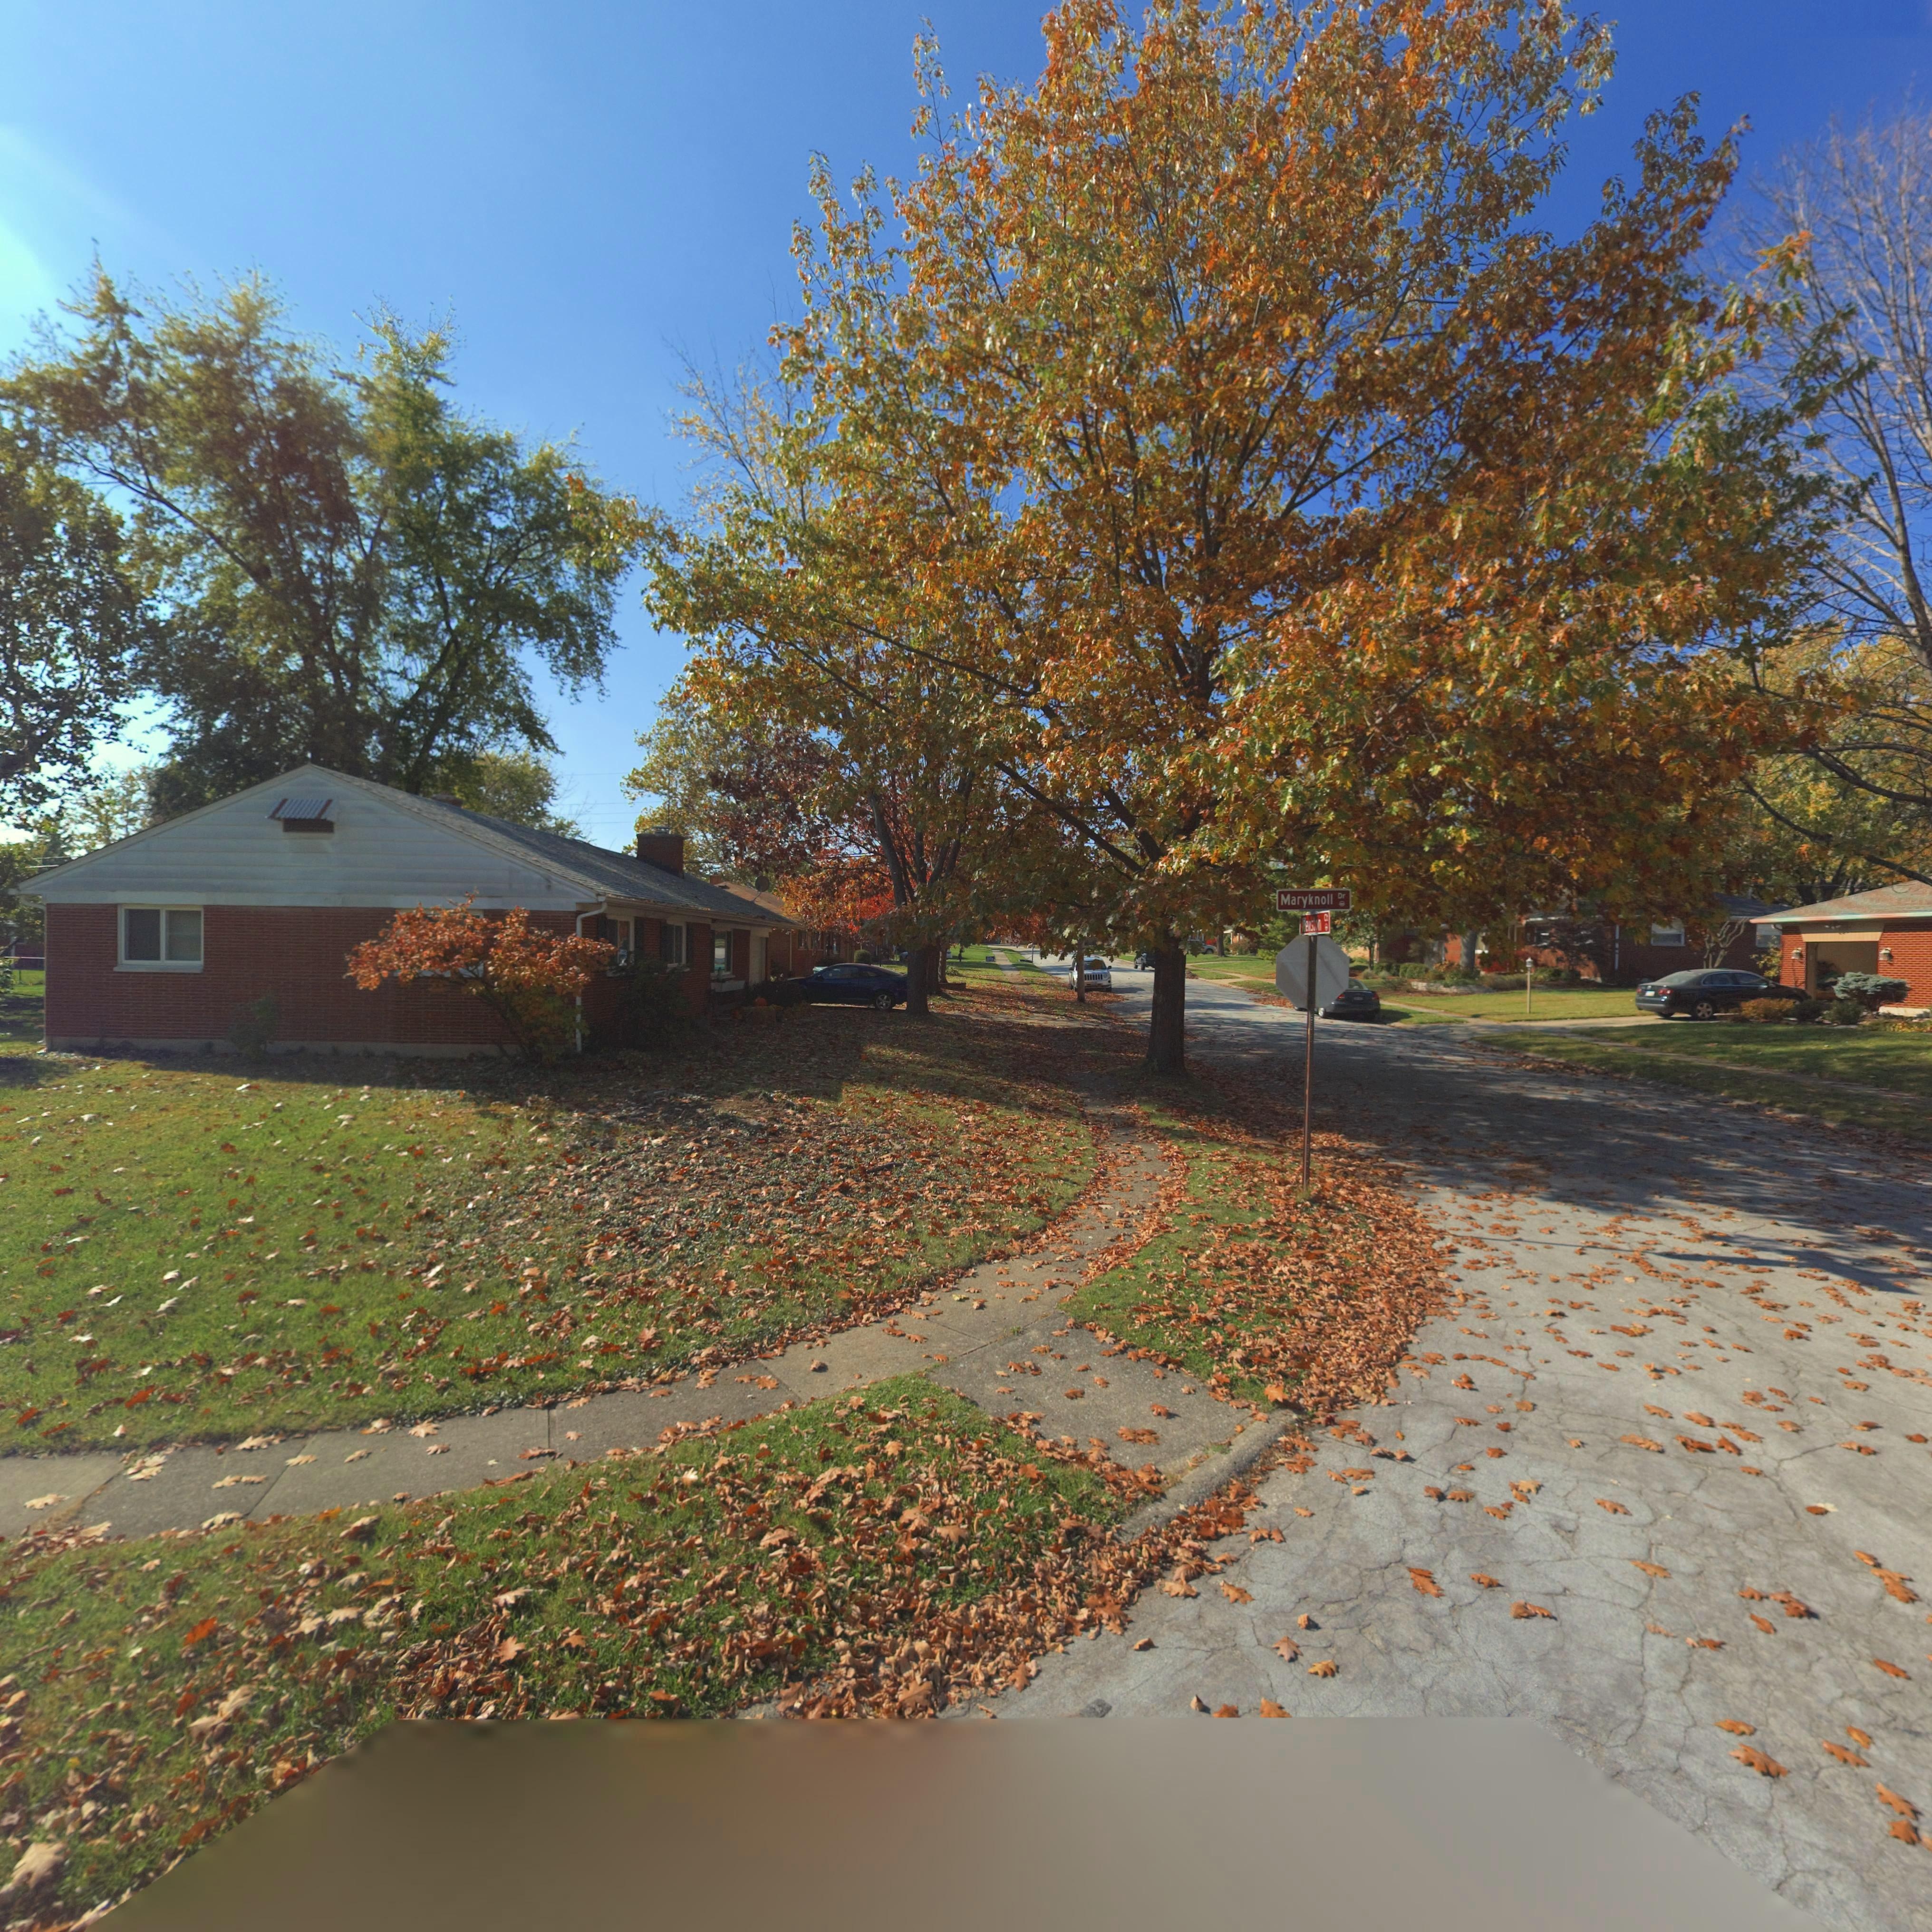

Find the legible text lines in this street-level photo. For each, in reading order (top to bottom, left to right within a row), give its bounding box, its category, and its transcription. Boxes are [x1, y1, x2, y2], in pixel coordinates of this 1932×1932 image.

[1280, 892, 1346, 909] StreetName: Maryknoll Dr
[1301, 913, 1329, 932] StreetName: Wenston Ct